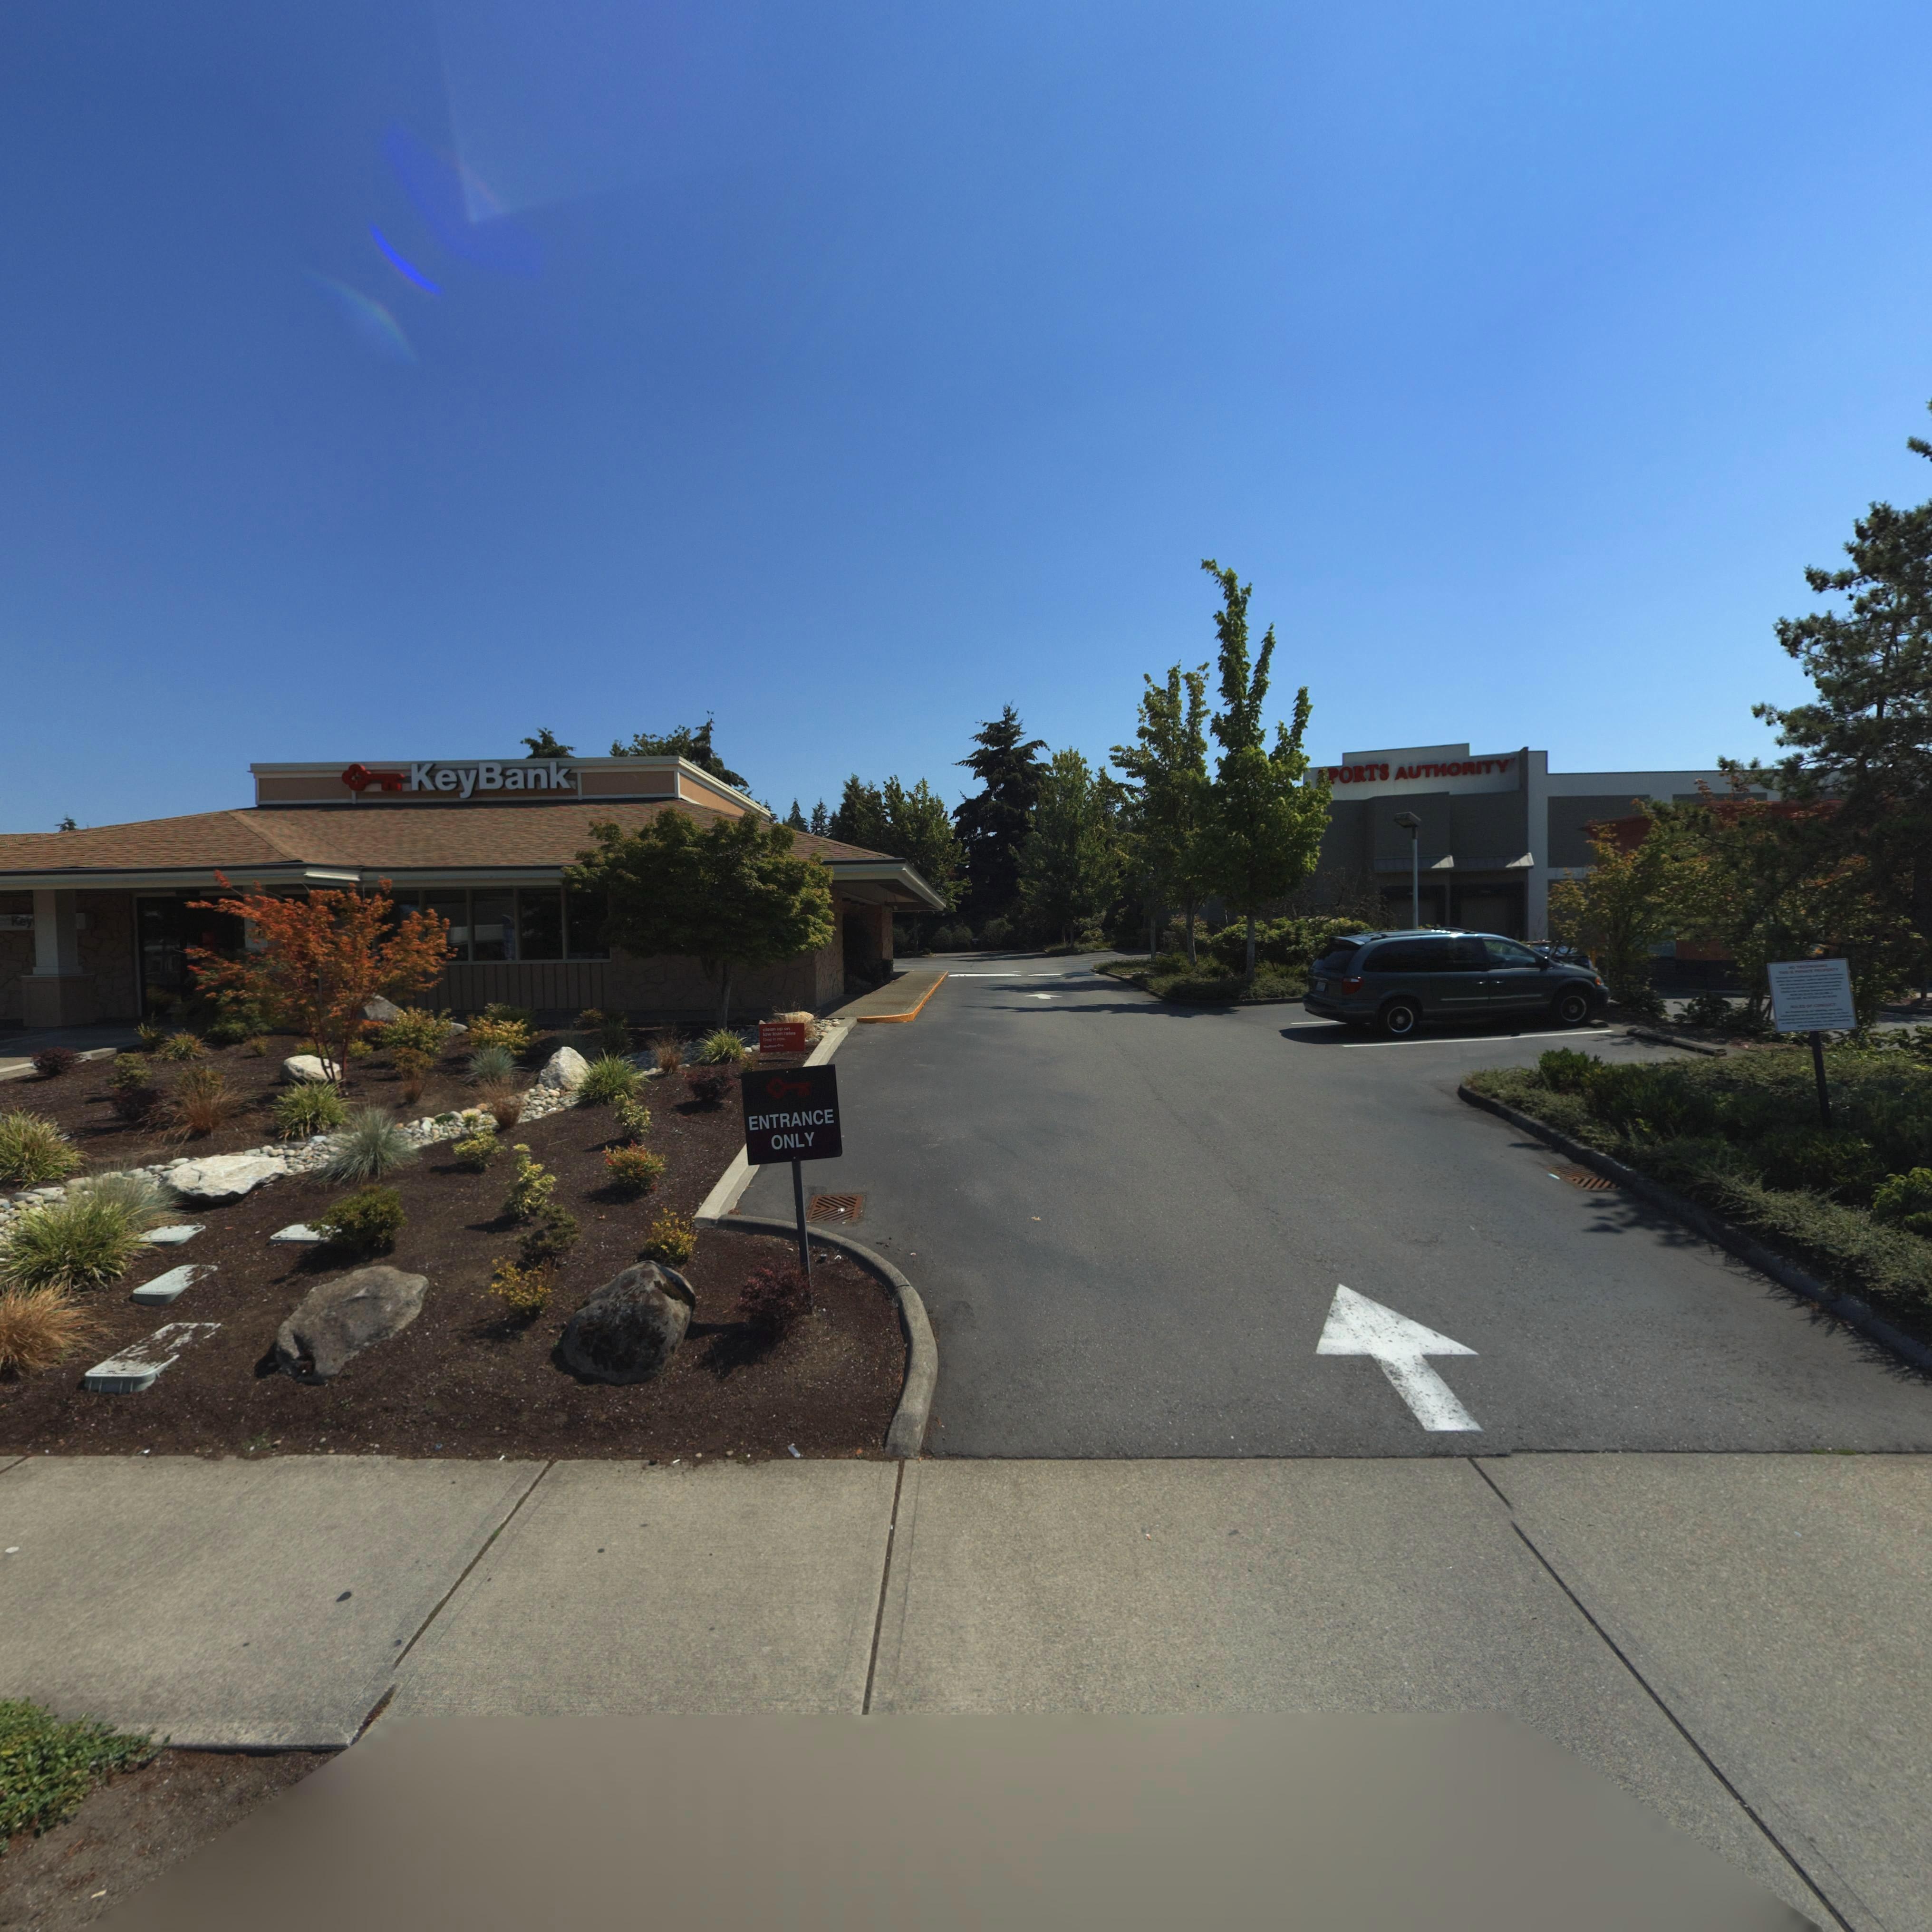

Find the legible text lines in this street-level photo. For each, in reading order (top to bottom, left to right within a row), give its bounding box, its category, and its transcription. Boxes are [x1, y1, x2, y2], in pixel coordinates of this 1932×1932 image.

[408, 758, 576, 801] BusinessName: KeyBank
[1316, 756, 1513, 785] BusinessName: *PORTS AUTHORITY